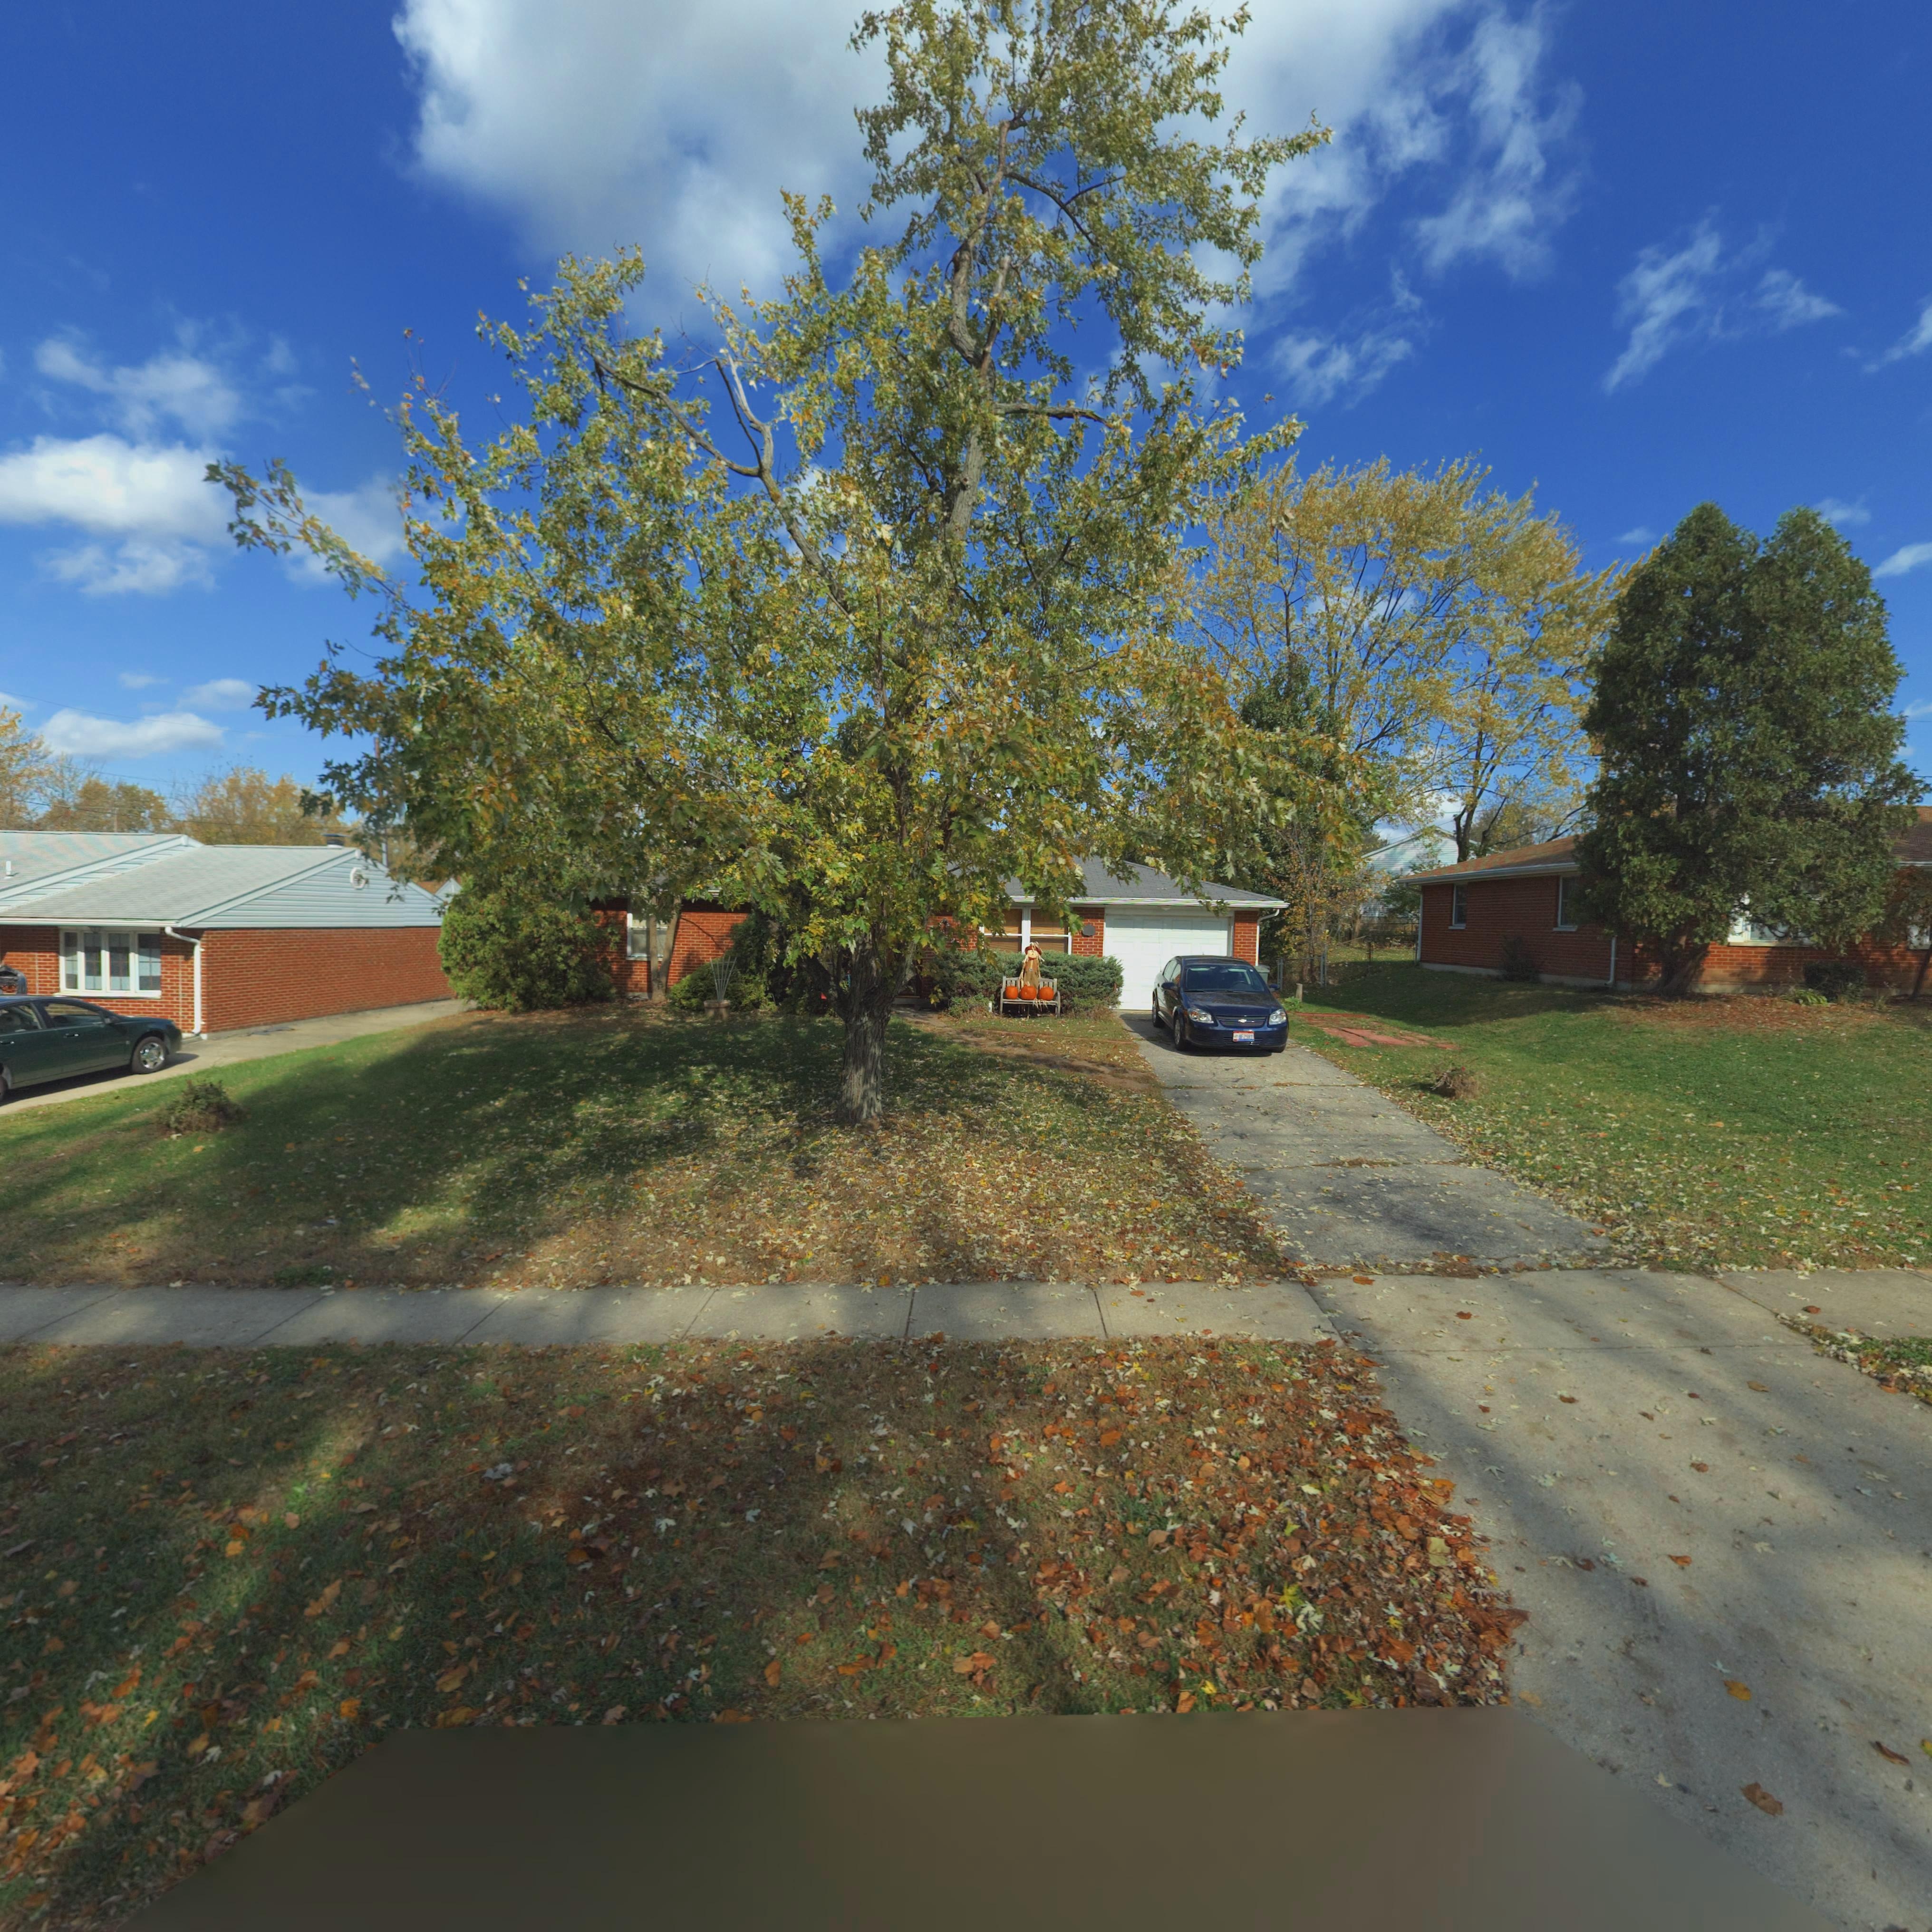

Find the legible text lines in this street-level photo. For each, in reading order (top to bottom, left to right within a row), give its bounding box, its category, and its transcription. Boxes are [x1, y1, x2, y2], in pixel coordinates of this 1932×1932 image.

[950, 937, 955, 943] StreetNumber: 2\